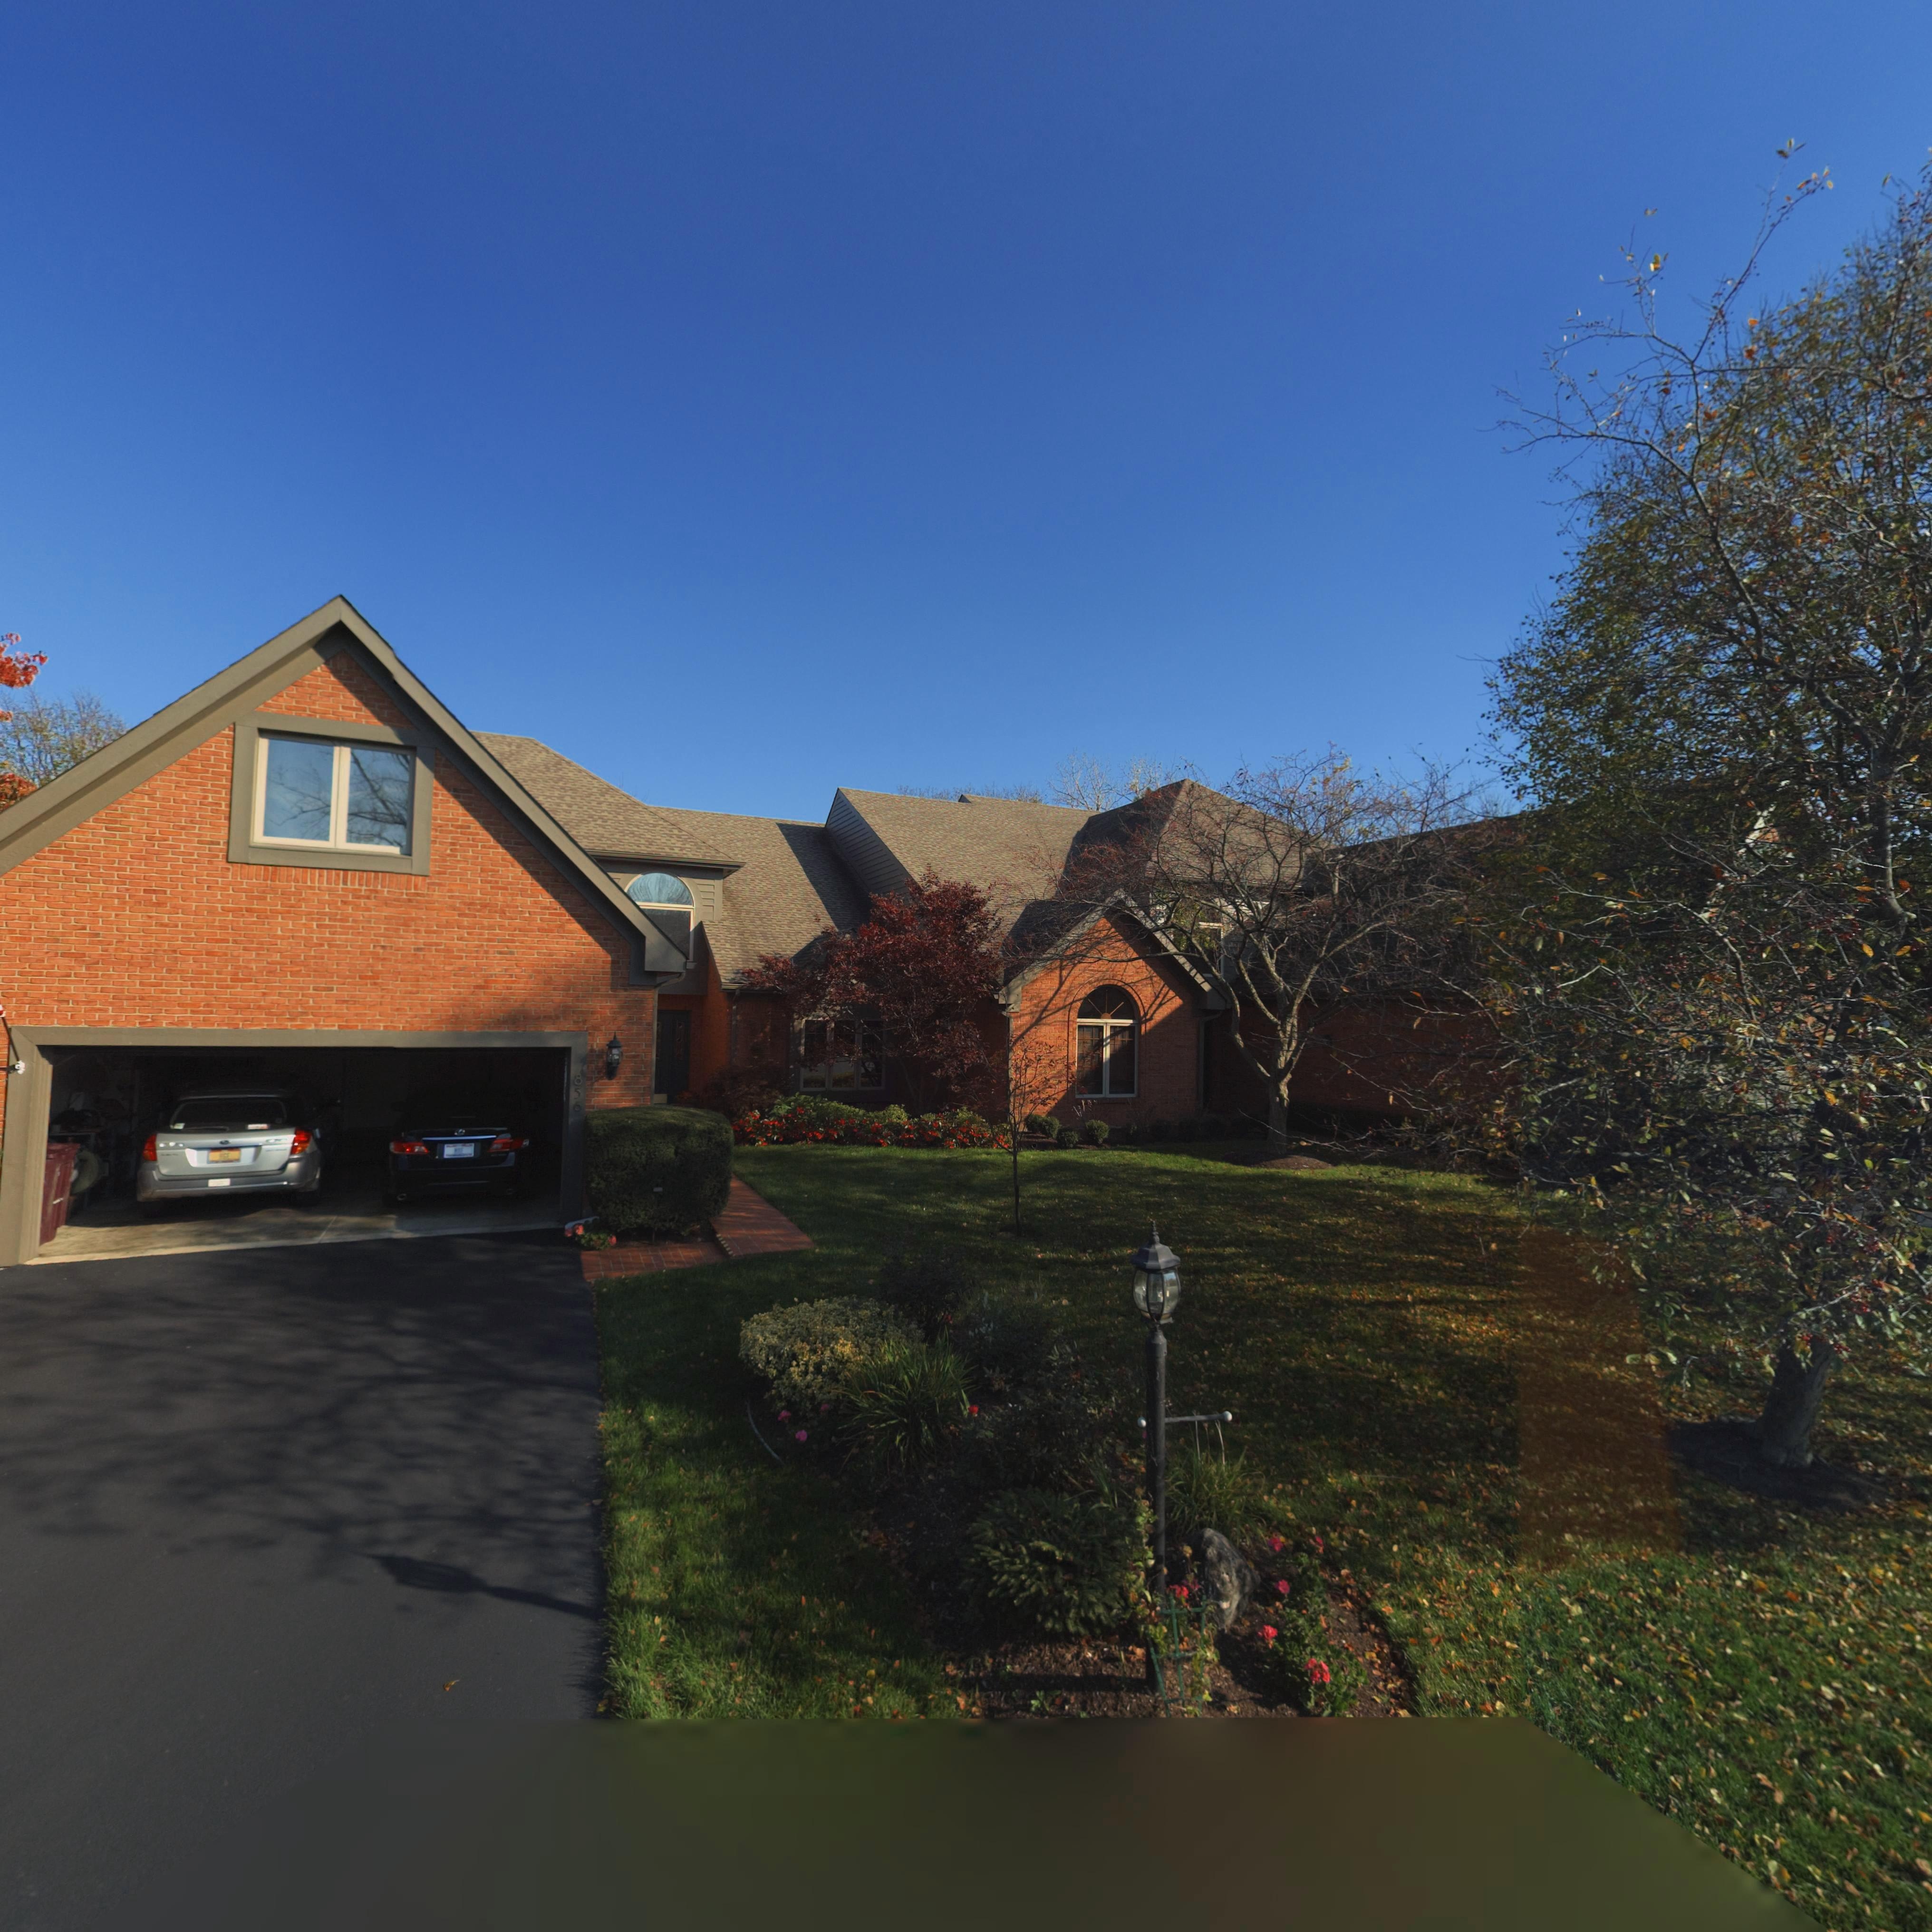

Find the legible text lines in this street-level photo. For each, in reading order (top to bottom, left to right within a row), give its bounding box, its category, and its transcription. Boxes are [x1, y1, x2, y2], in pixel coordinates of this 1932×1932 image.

[572, 1071, 584, 1113] StreetNumber: 856